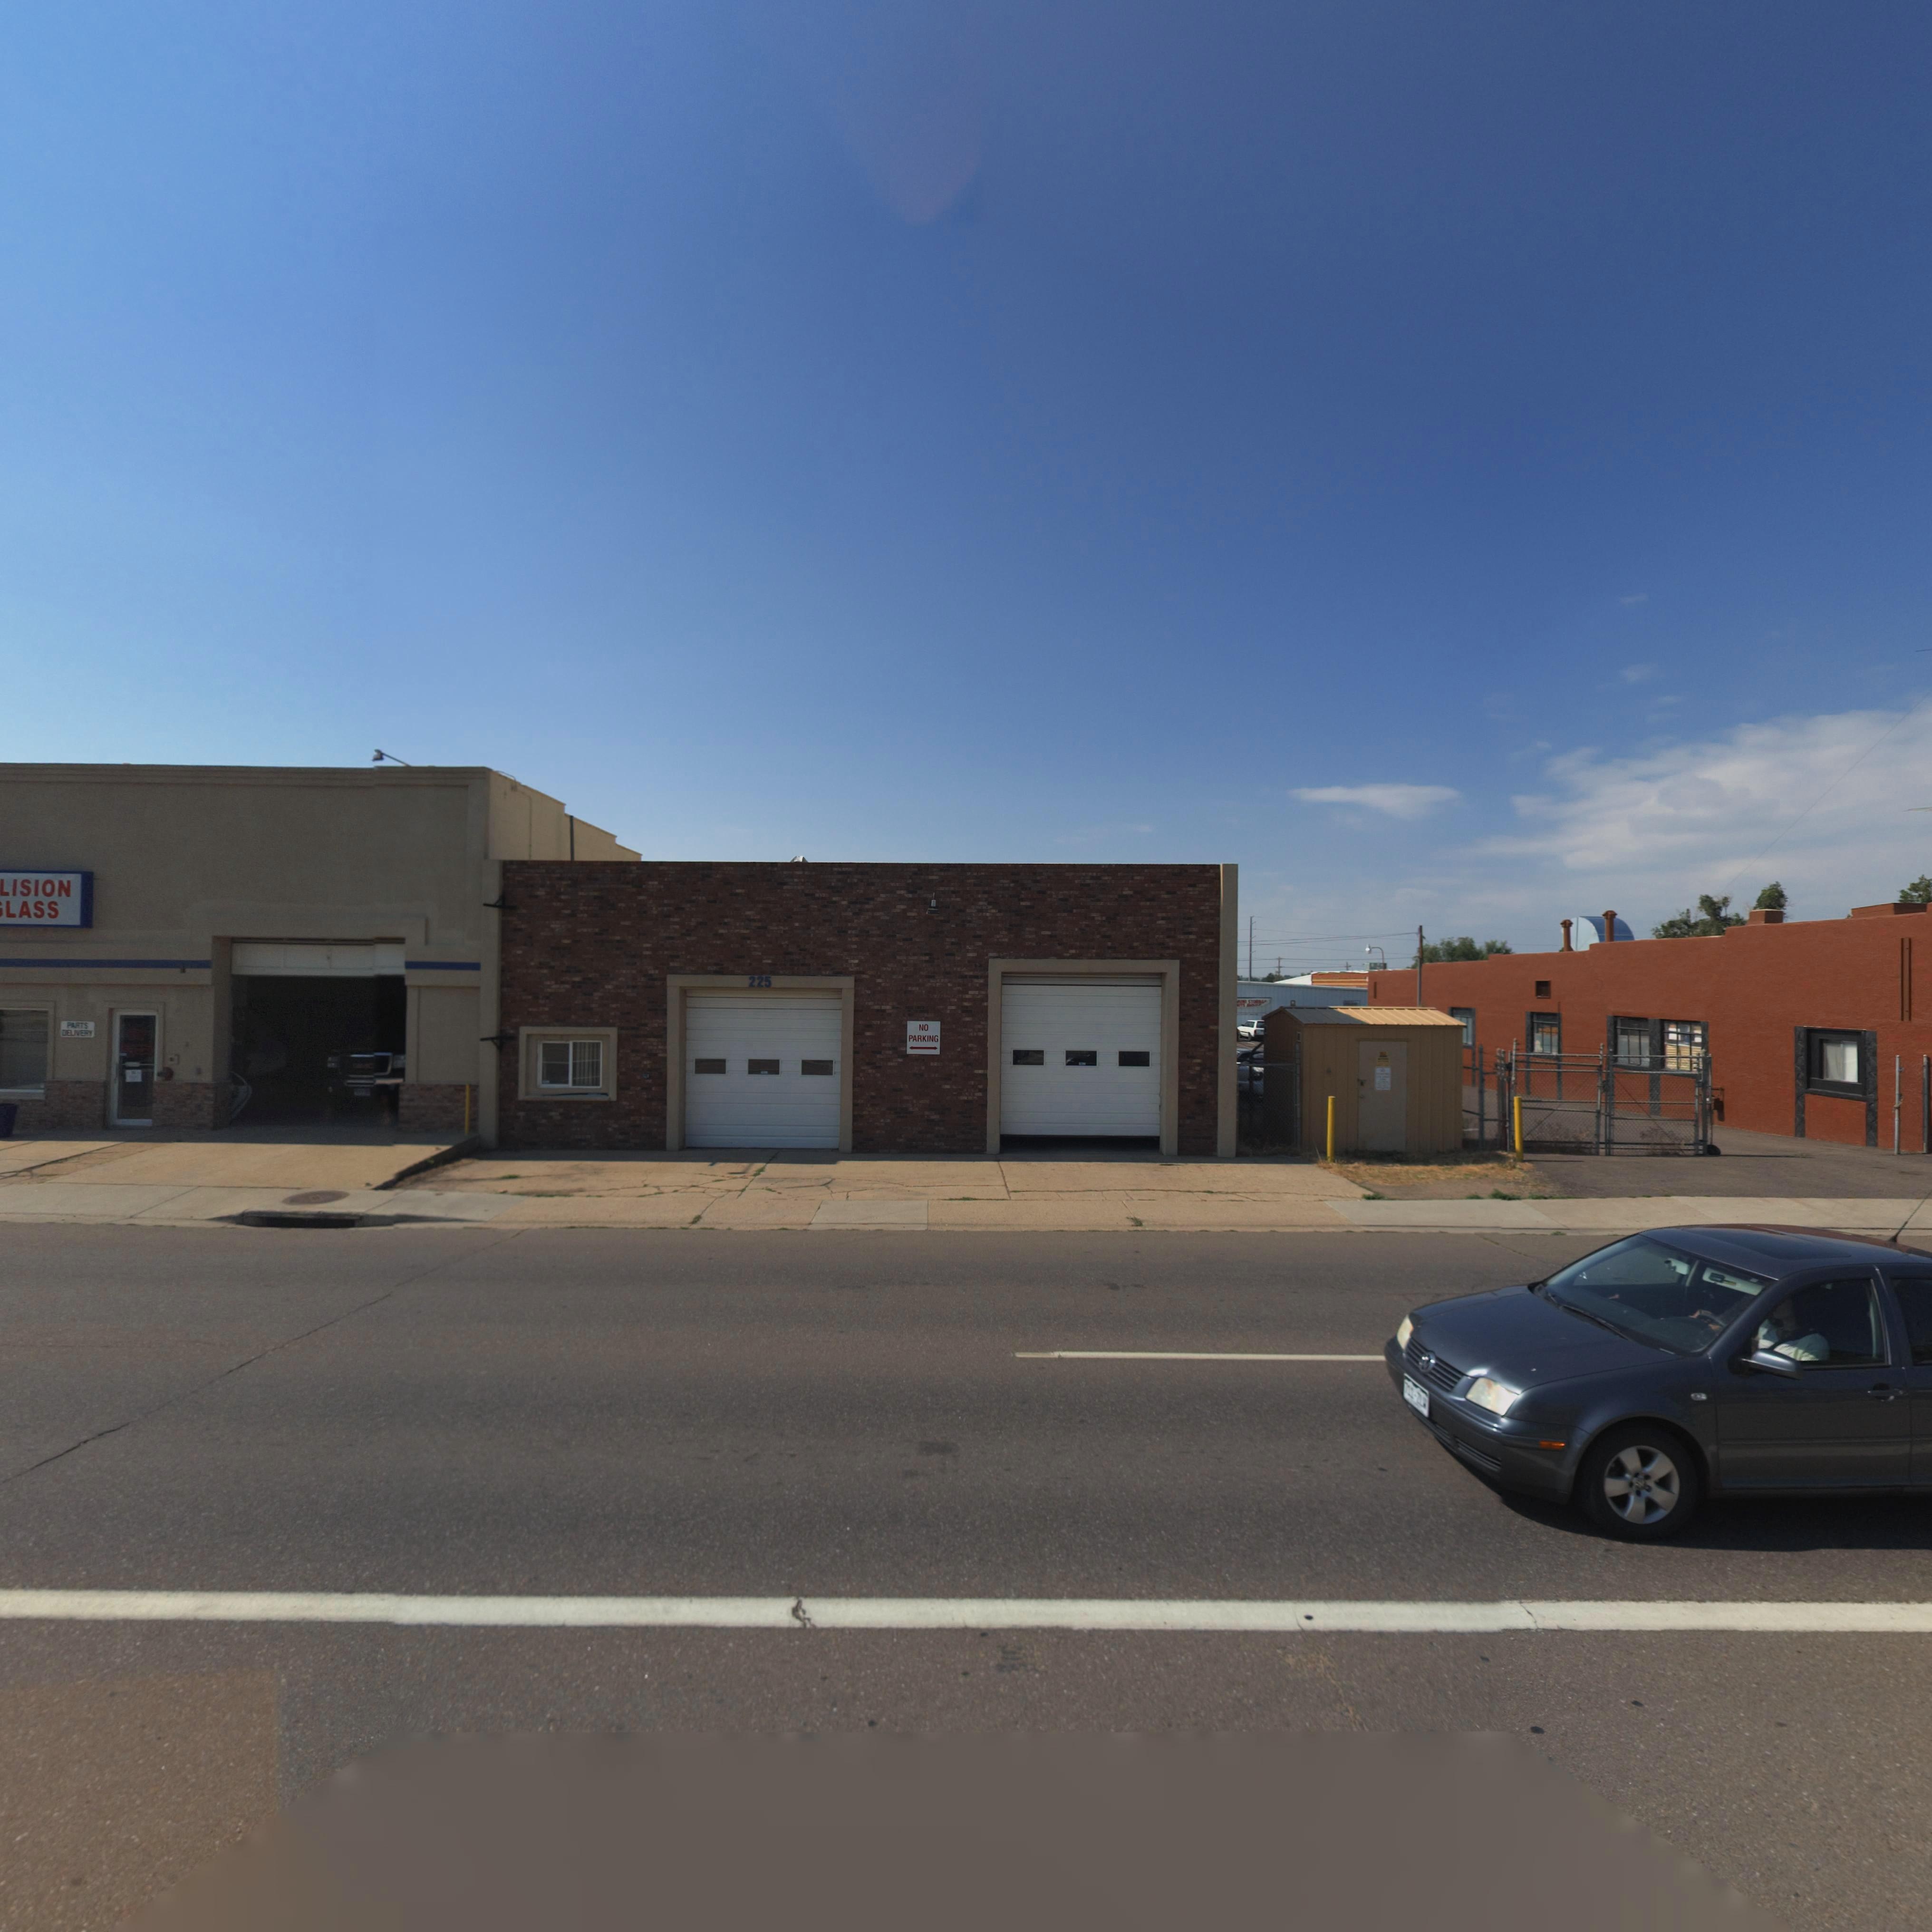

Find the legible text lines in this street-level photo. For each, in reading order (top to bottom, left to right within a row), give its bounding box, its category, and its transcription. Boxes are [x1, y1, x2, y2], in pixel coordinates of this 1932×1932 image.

[10, 878, 71, 898] BusinessName: ISION
[5, 899, 59, 919] BusinessName: LASS
[748, 975, 771, 987] StreetNumber: 225